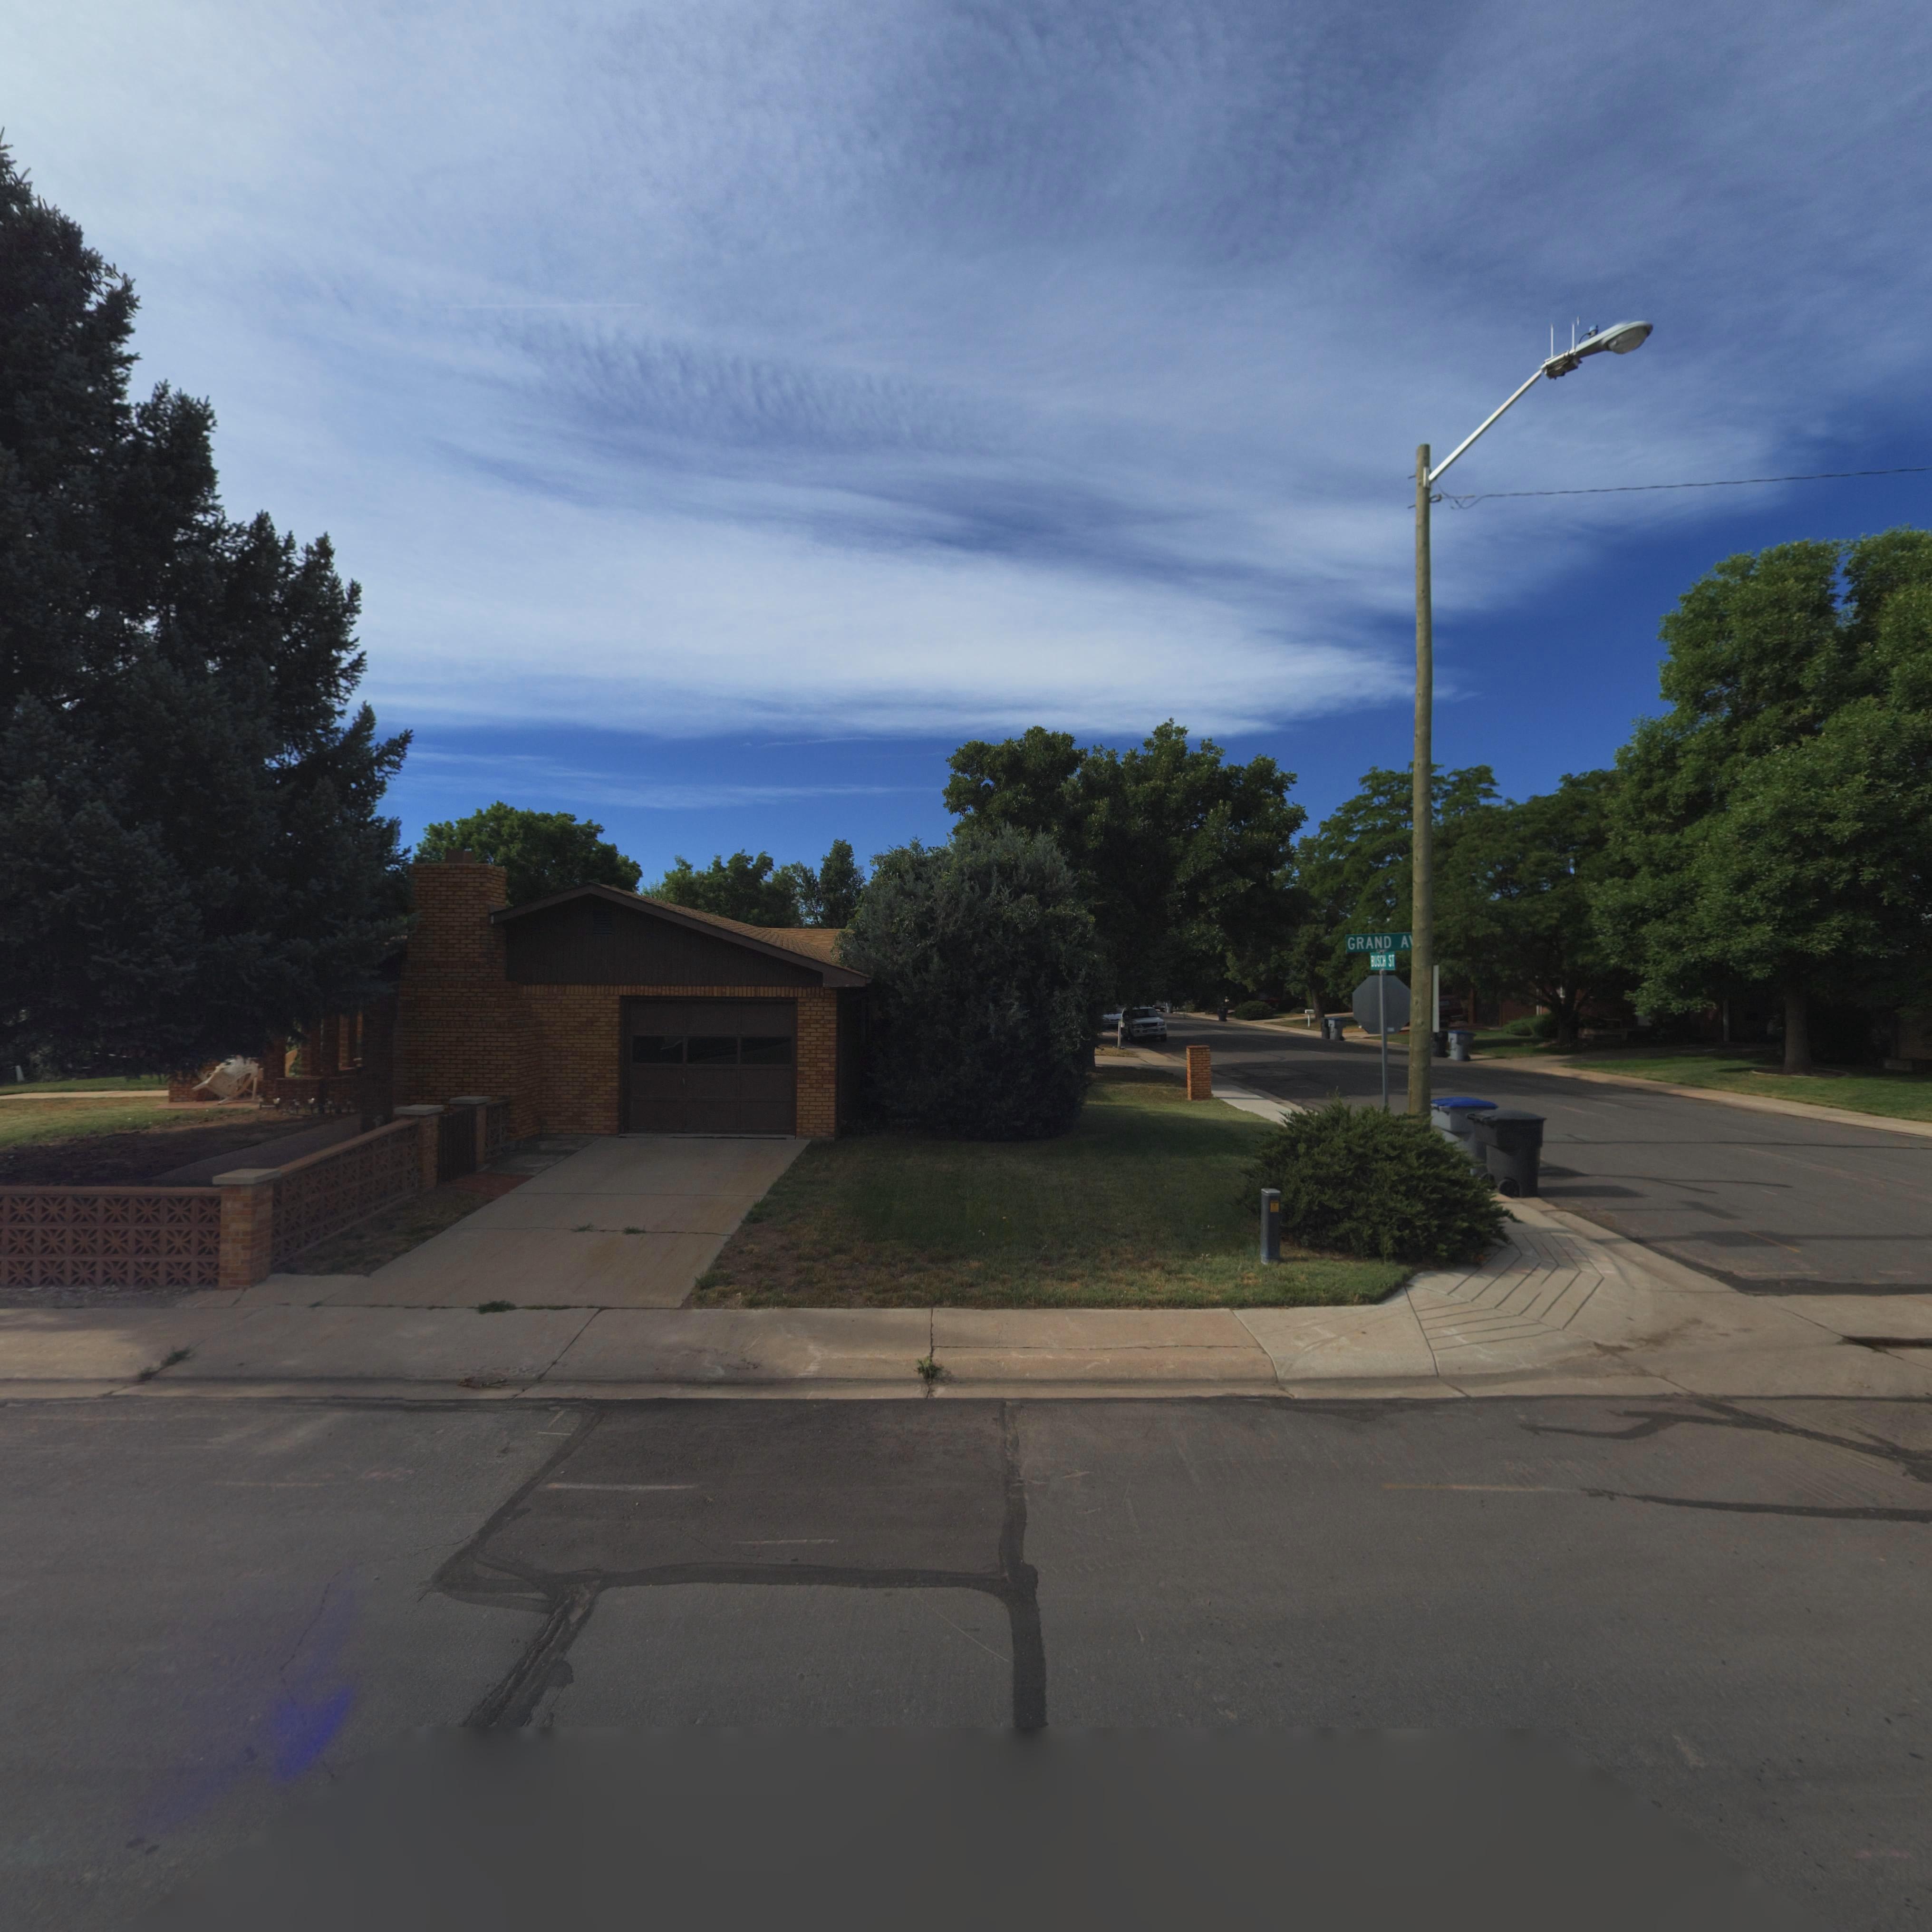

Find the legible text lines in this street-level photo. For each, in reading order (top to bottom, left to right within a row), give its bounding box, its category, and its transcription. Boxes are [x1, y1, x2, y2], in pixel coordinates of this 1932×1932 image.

[1346, 933, 1410, 950] StreetName: GRAND A
[1370, 954, 1395, 968] StreetName: BUSCH ST